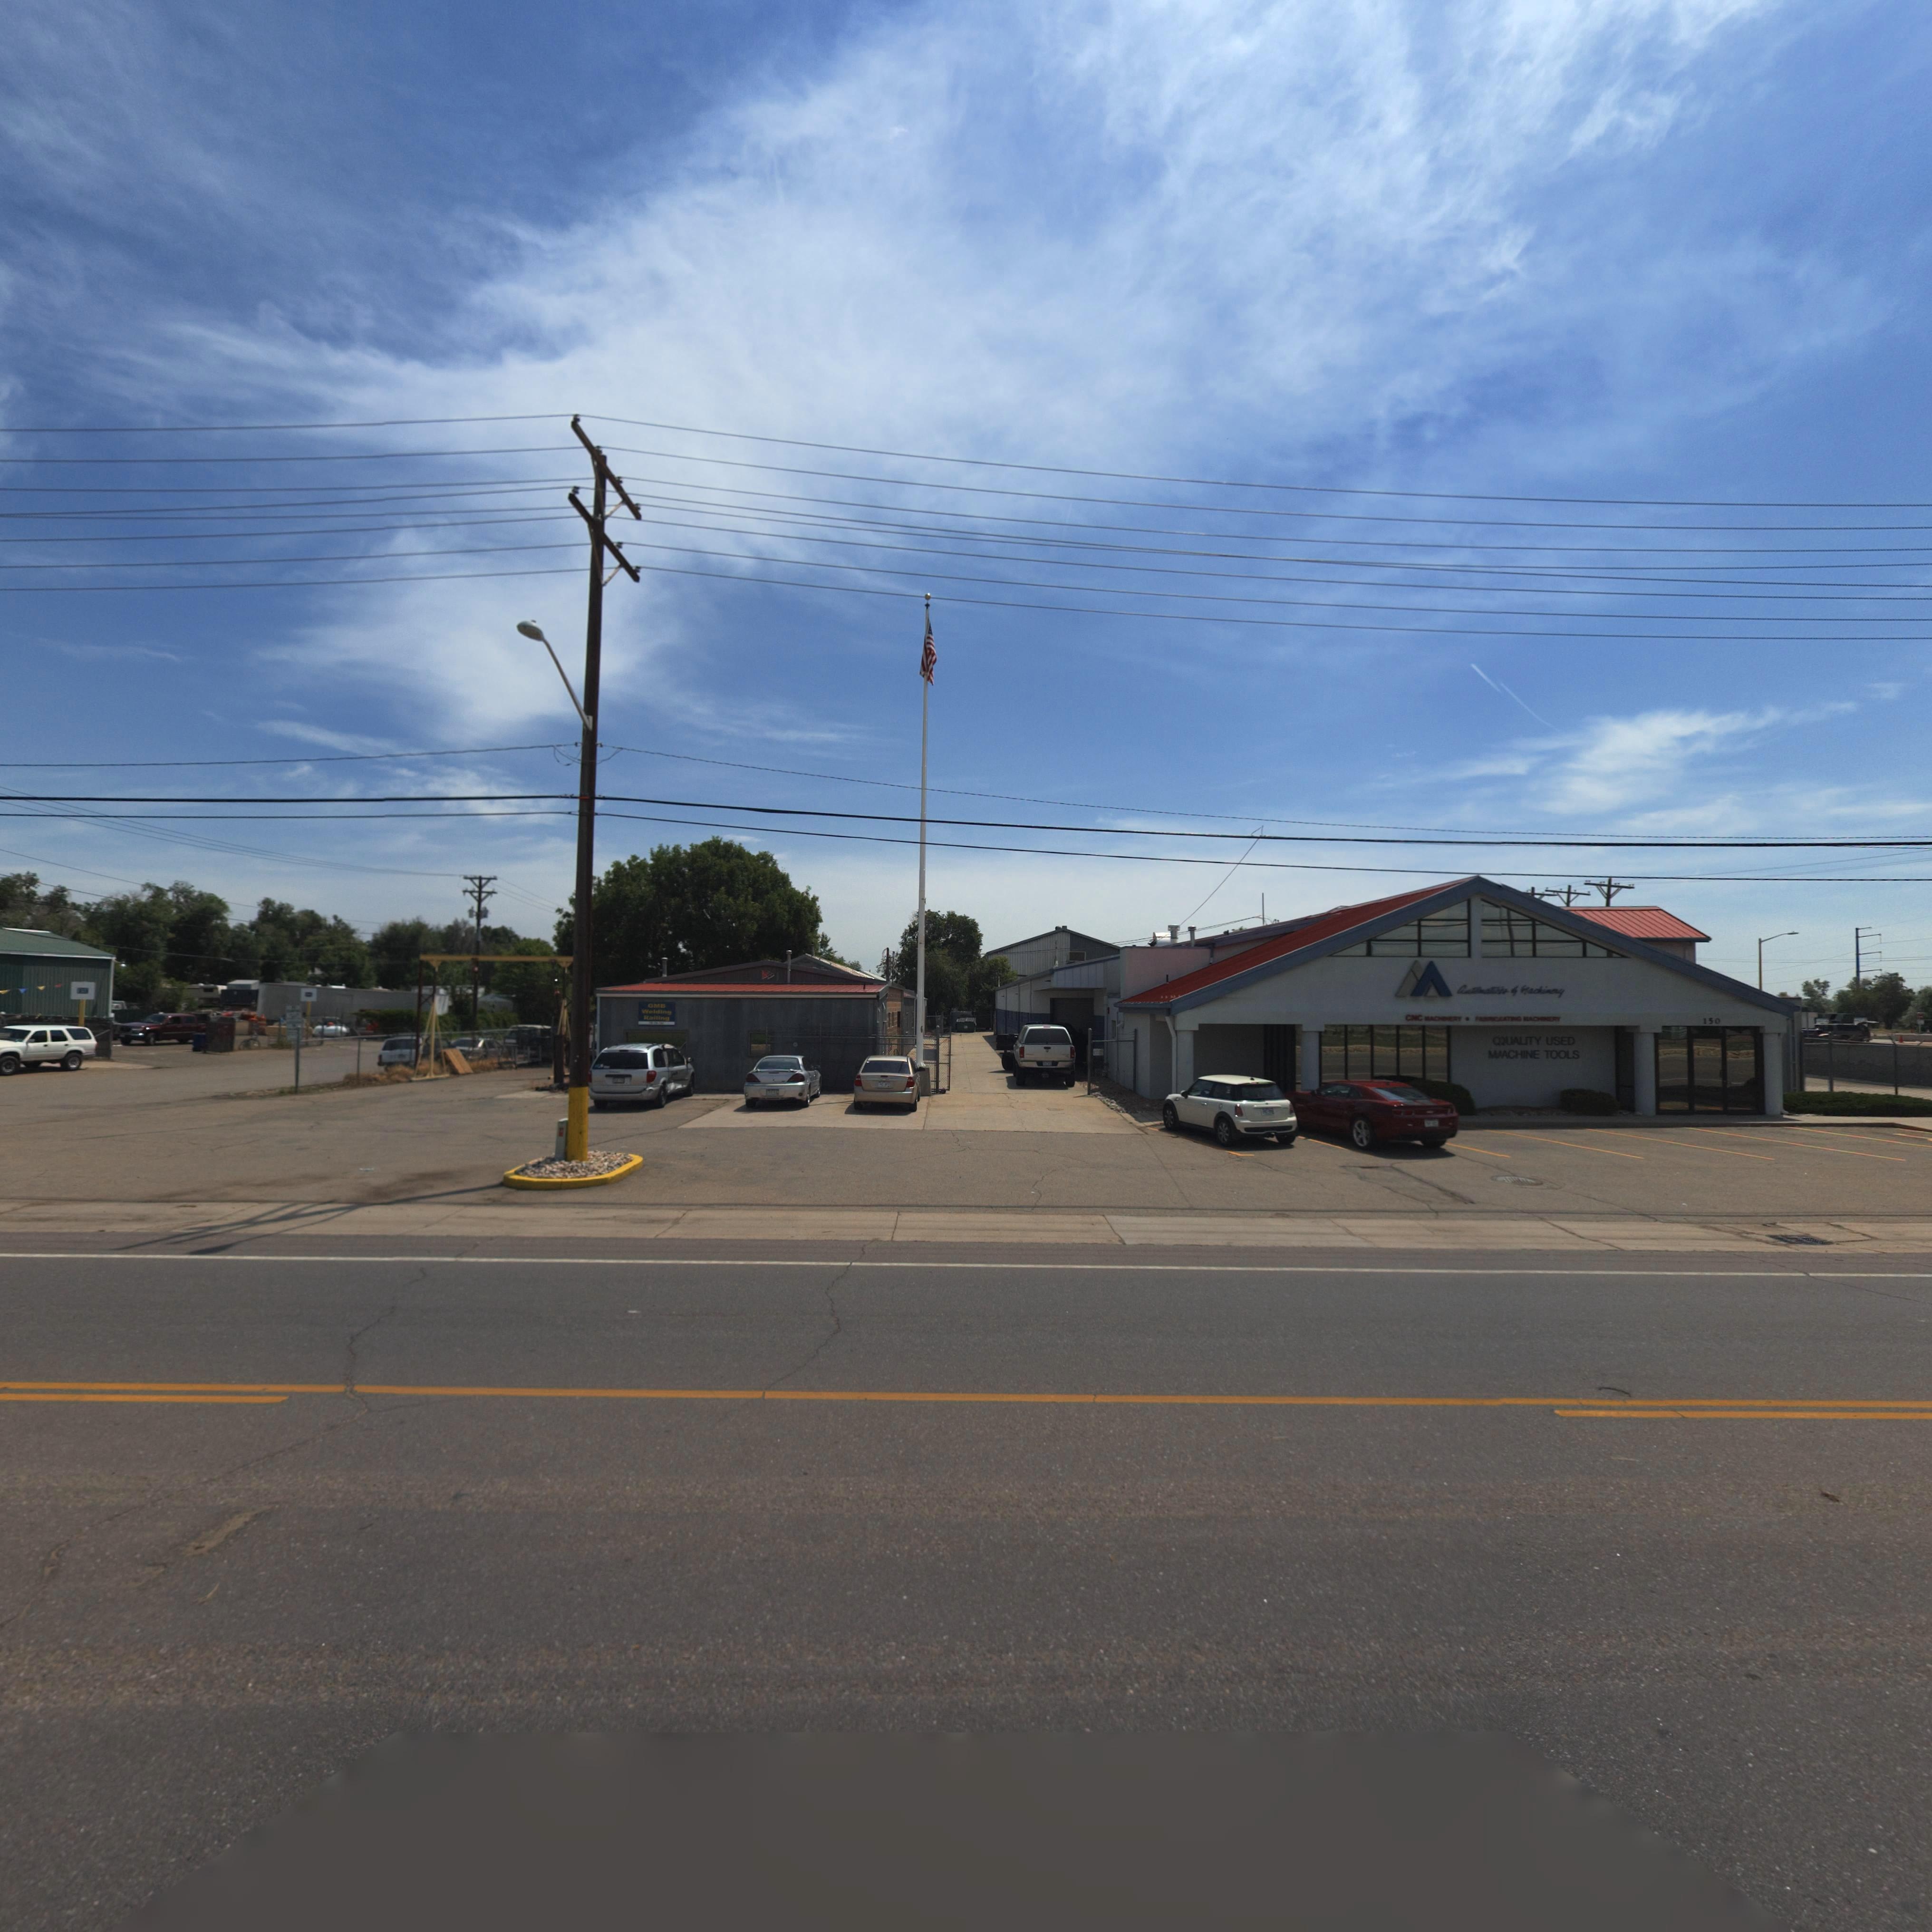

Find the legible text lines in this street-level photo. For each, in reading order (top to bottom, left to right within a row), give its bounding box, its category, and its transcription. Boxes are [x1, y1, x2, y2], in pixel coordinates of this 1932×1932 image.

[1457, 984, 1565, 998] BusinessName: Automatics * Machinery
[647, 1003, 666, 1008] BusinessName: GMB
[641, 1009, 671, 1015] BusinessName: Welding
[643, 1015, 670, 1021] BusinessName: Railing
[1703, 1017, 1720, 1024] StreetNumber: 150